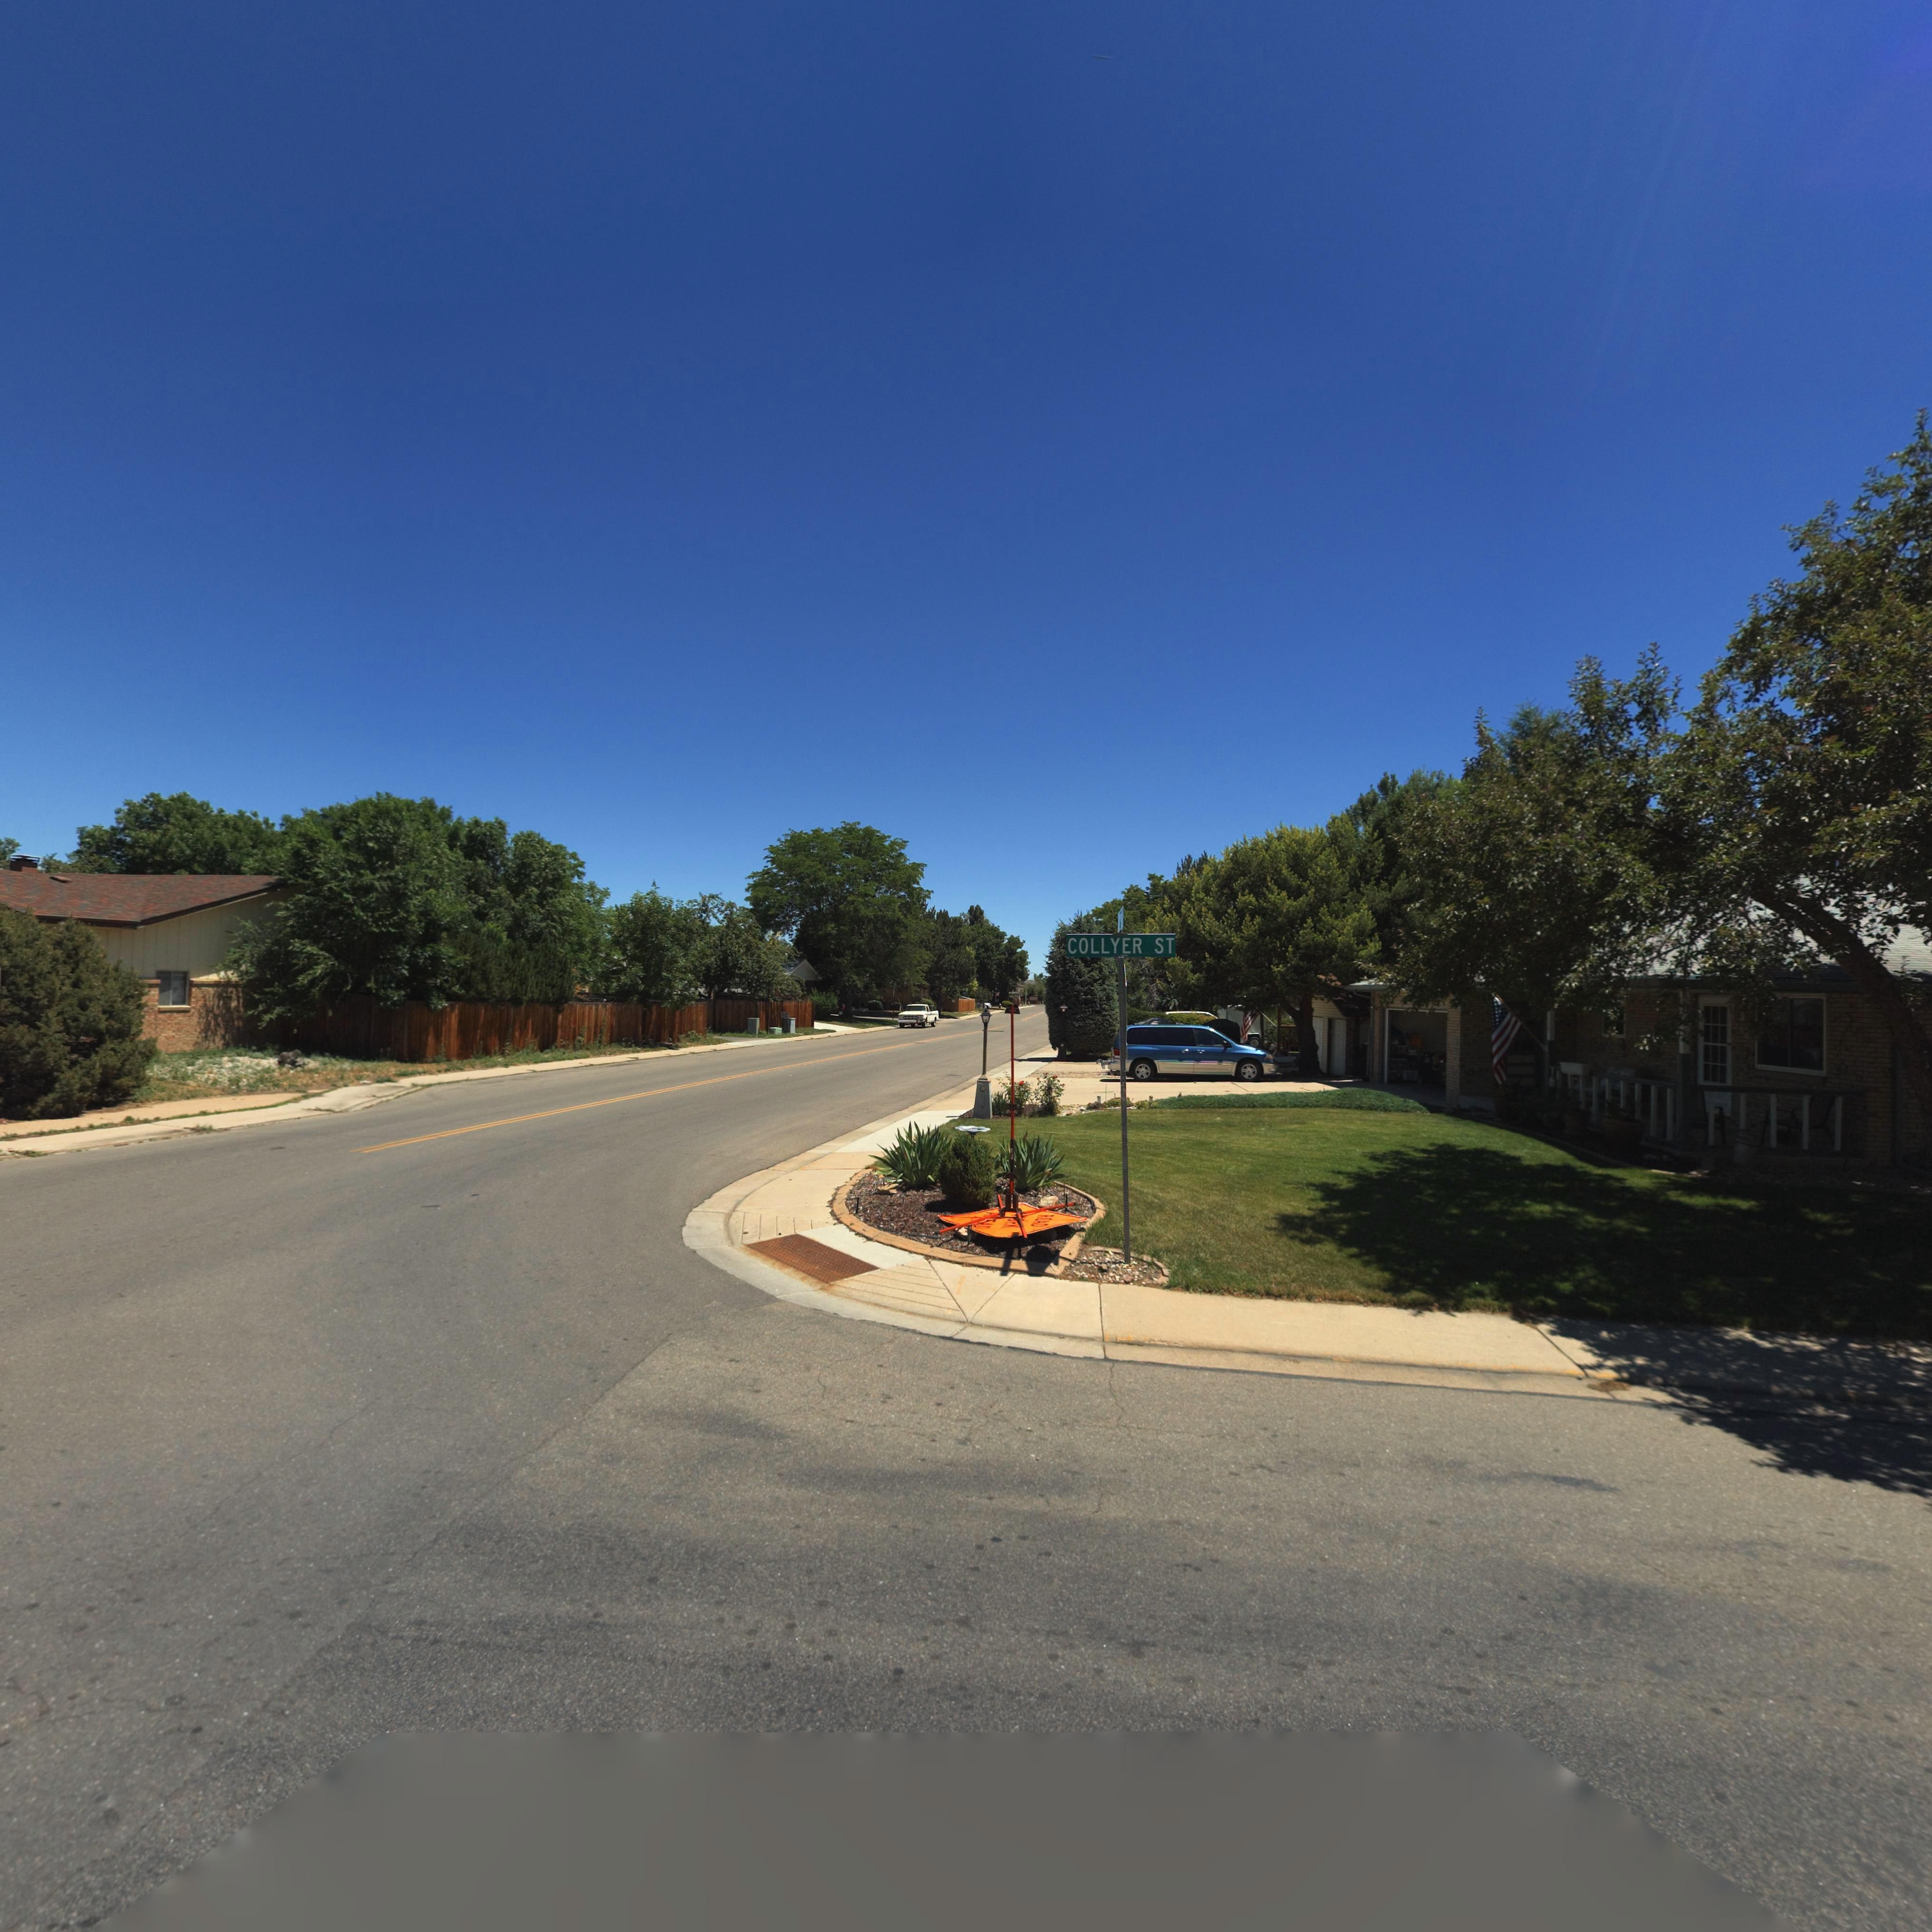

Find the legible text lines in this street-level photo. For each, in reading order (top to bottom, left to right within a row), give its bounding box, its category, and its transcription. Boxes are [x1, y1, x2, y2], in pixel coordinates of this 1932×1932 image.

[1067, 937, 1174, 954] StreetName: COLLYER ST